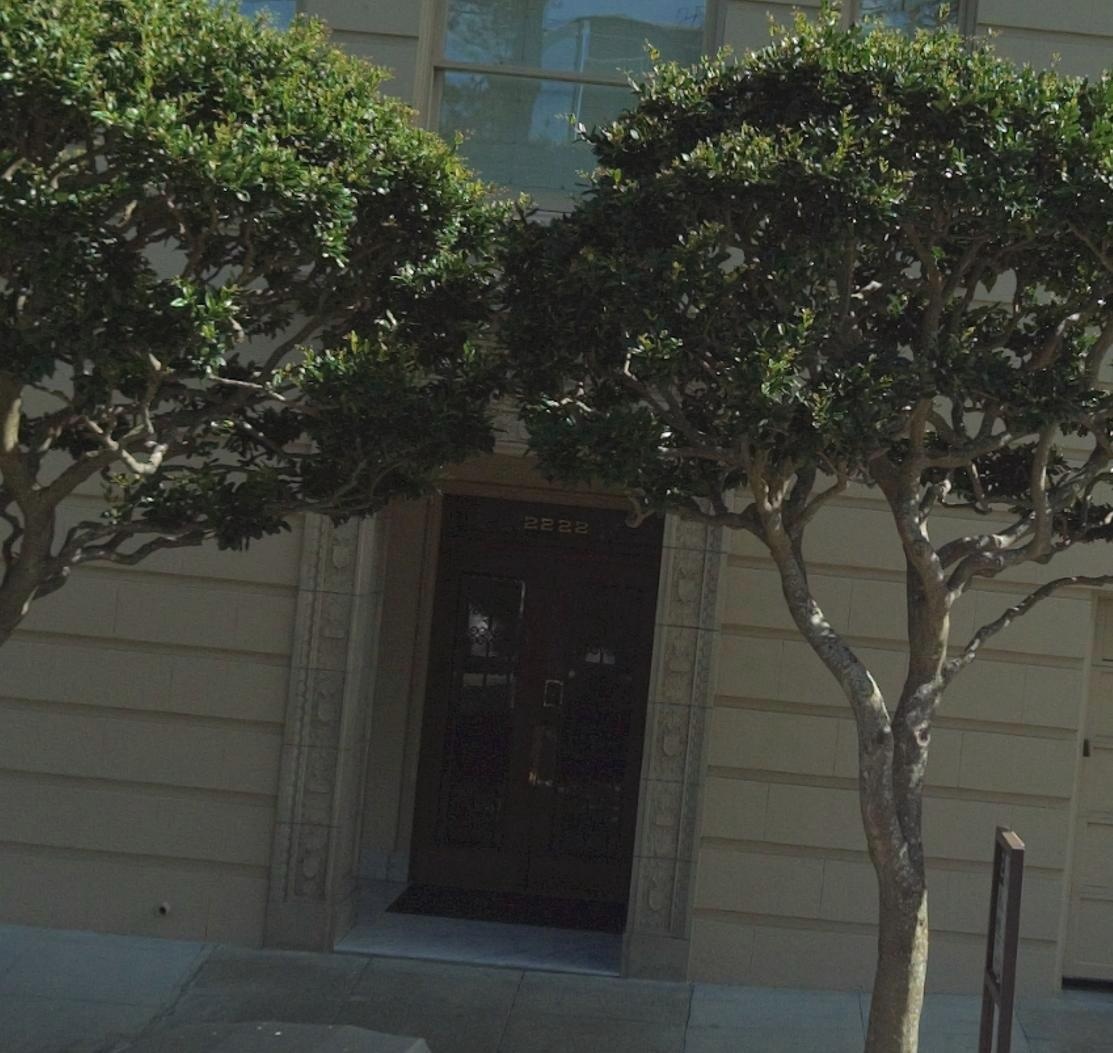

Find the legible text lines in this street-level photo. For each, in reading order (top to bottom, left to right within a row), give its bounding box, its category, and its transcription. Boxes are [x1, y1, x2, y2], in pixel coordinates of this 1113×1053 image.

[521, 514, 589, 536] StreetNumber: 2222